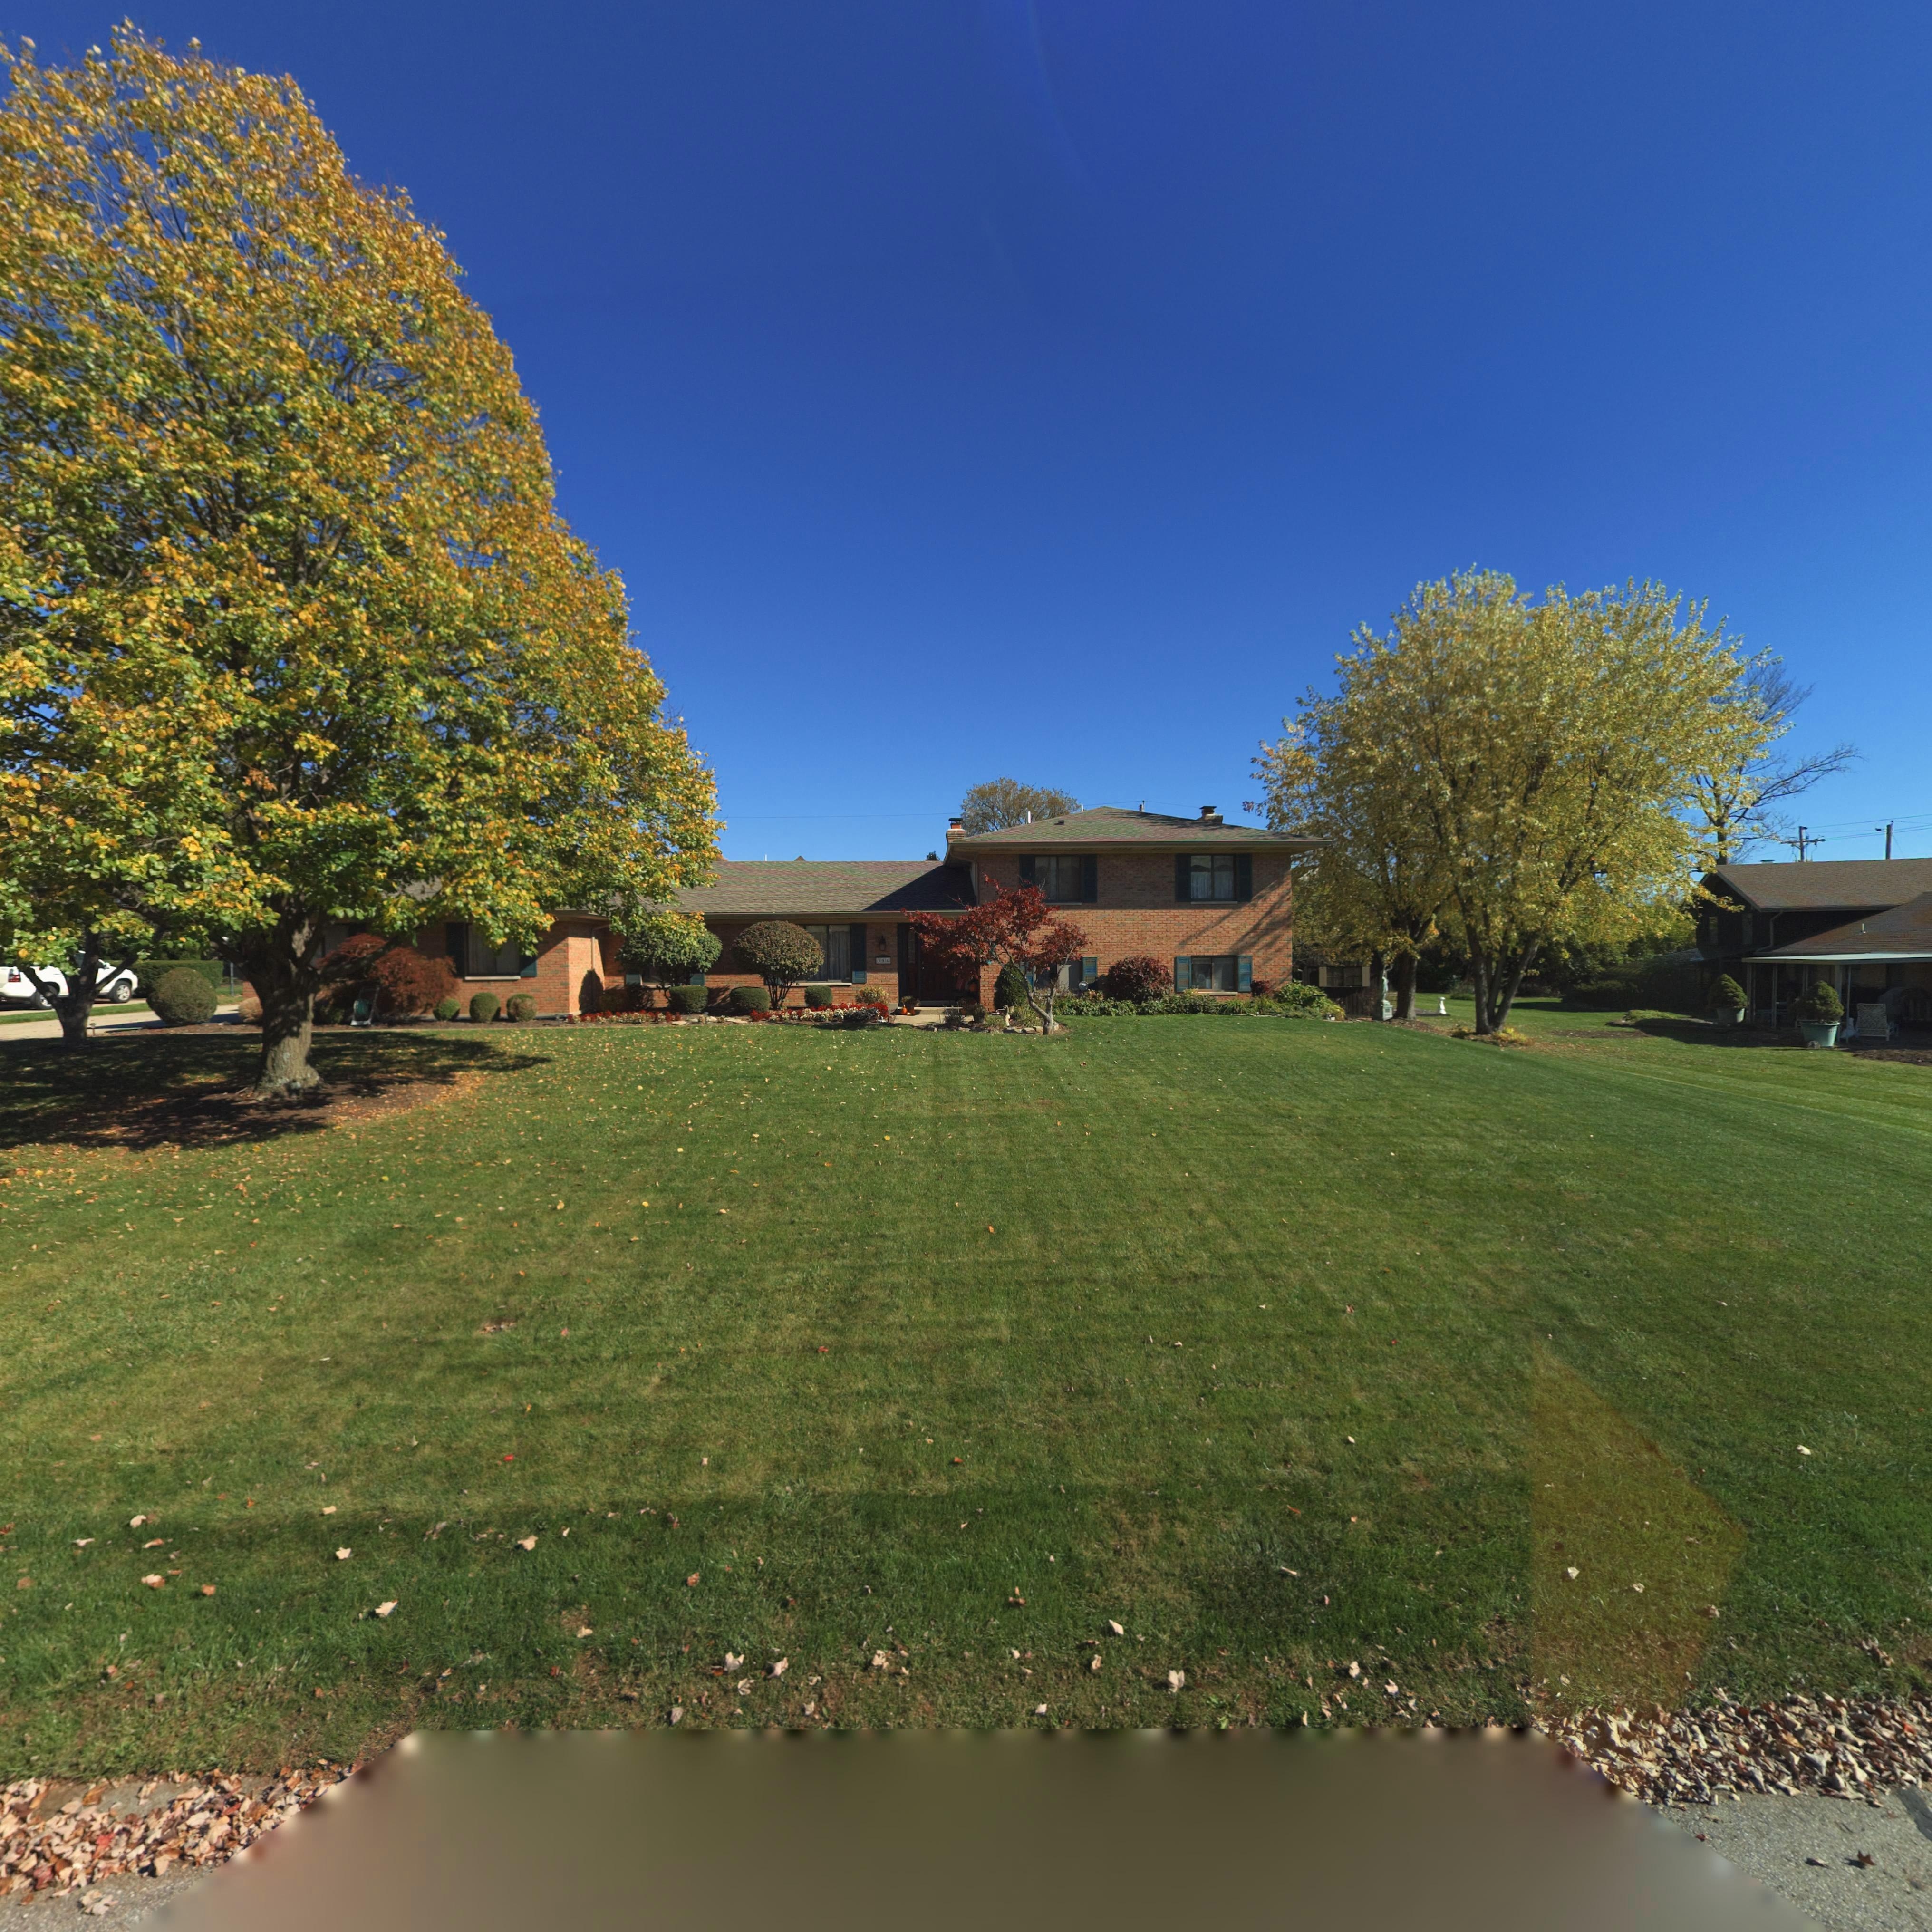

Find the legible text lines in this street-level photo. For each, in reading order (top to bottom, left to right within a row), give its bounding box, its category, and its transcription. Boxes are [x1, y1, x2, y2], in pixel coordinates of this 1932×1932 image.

[877, 958, 889, 963] StreetNumber: *5*